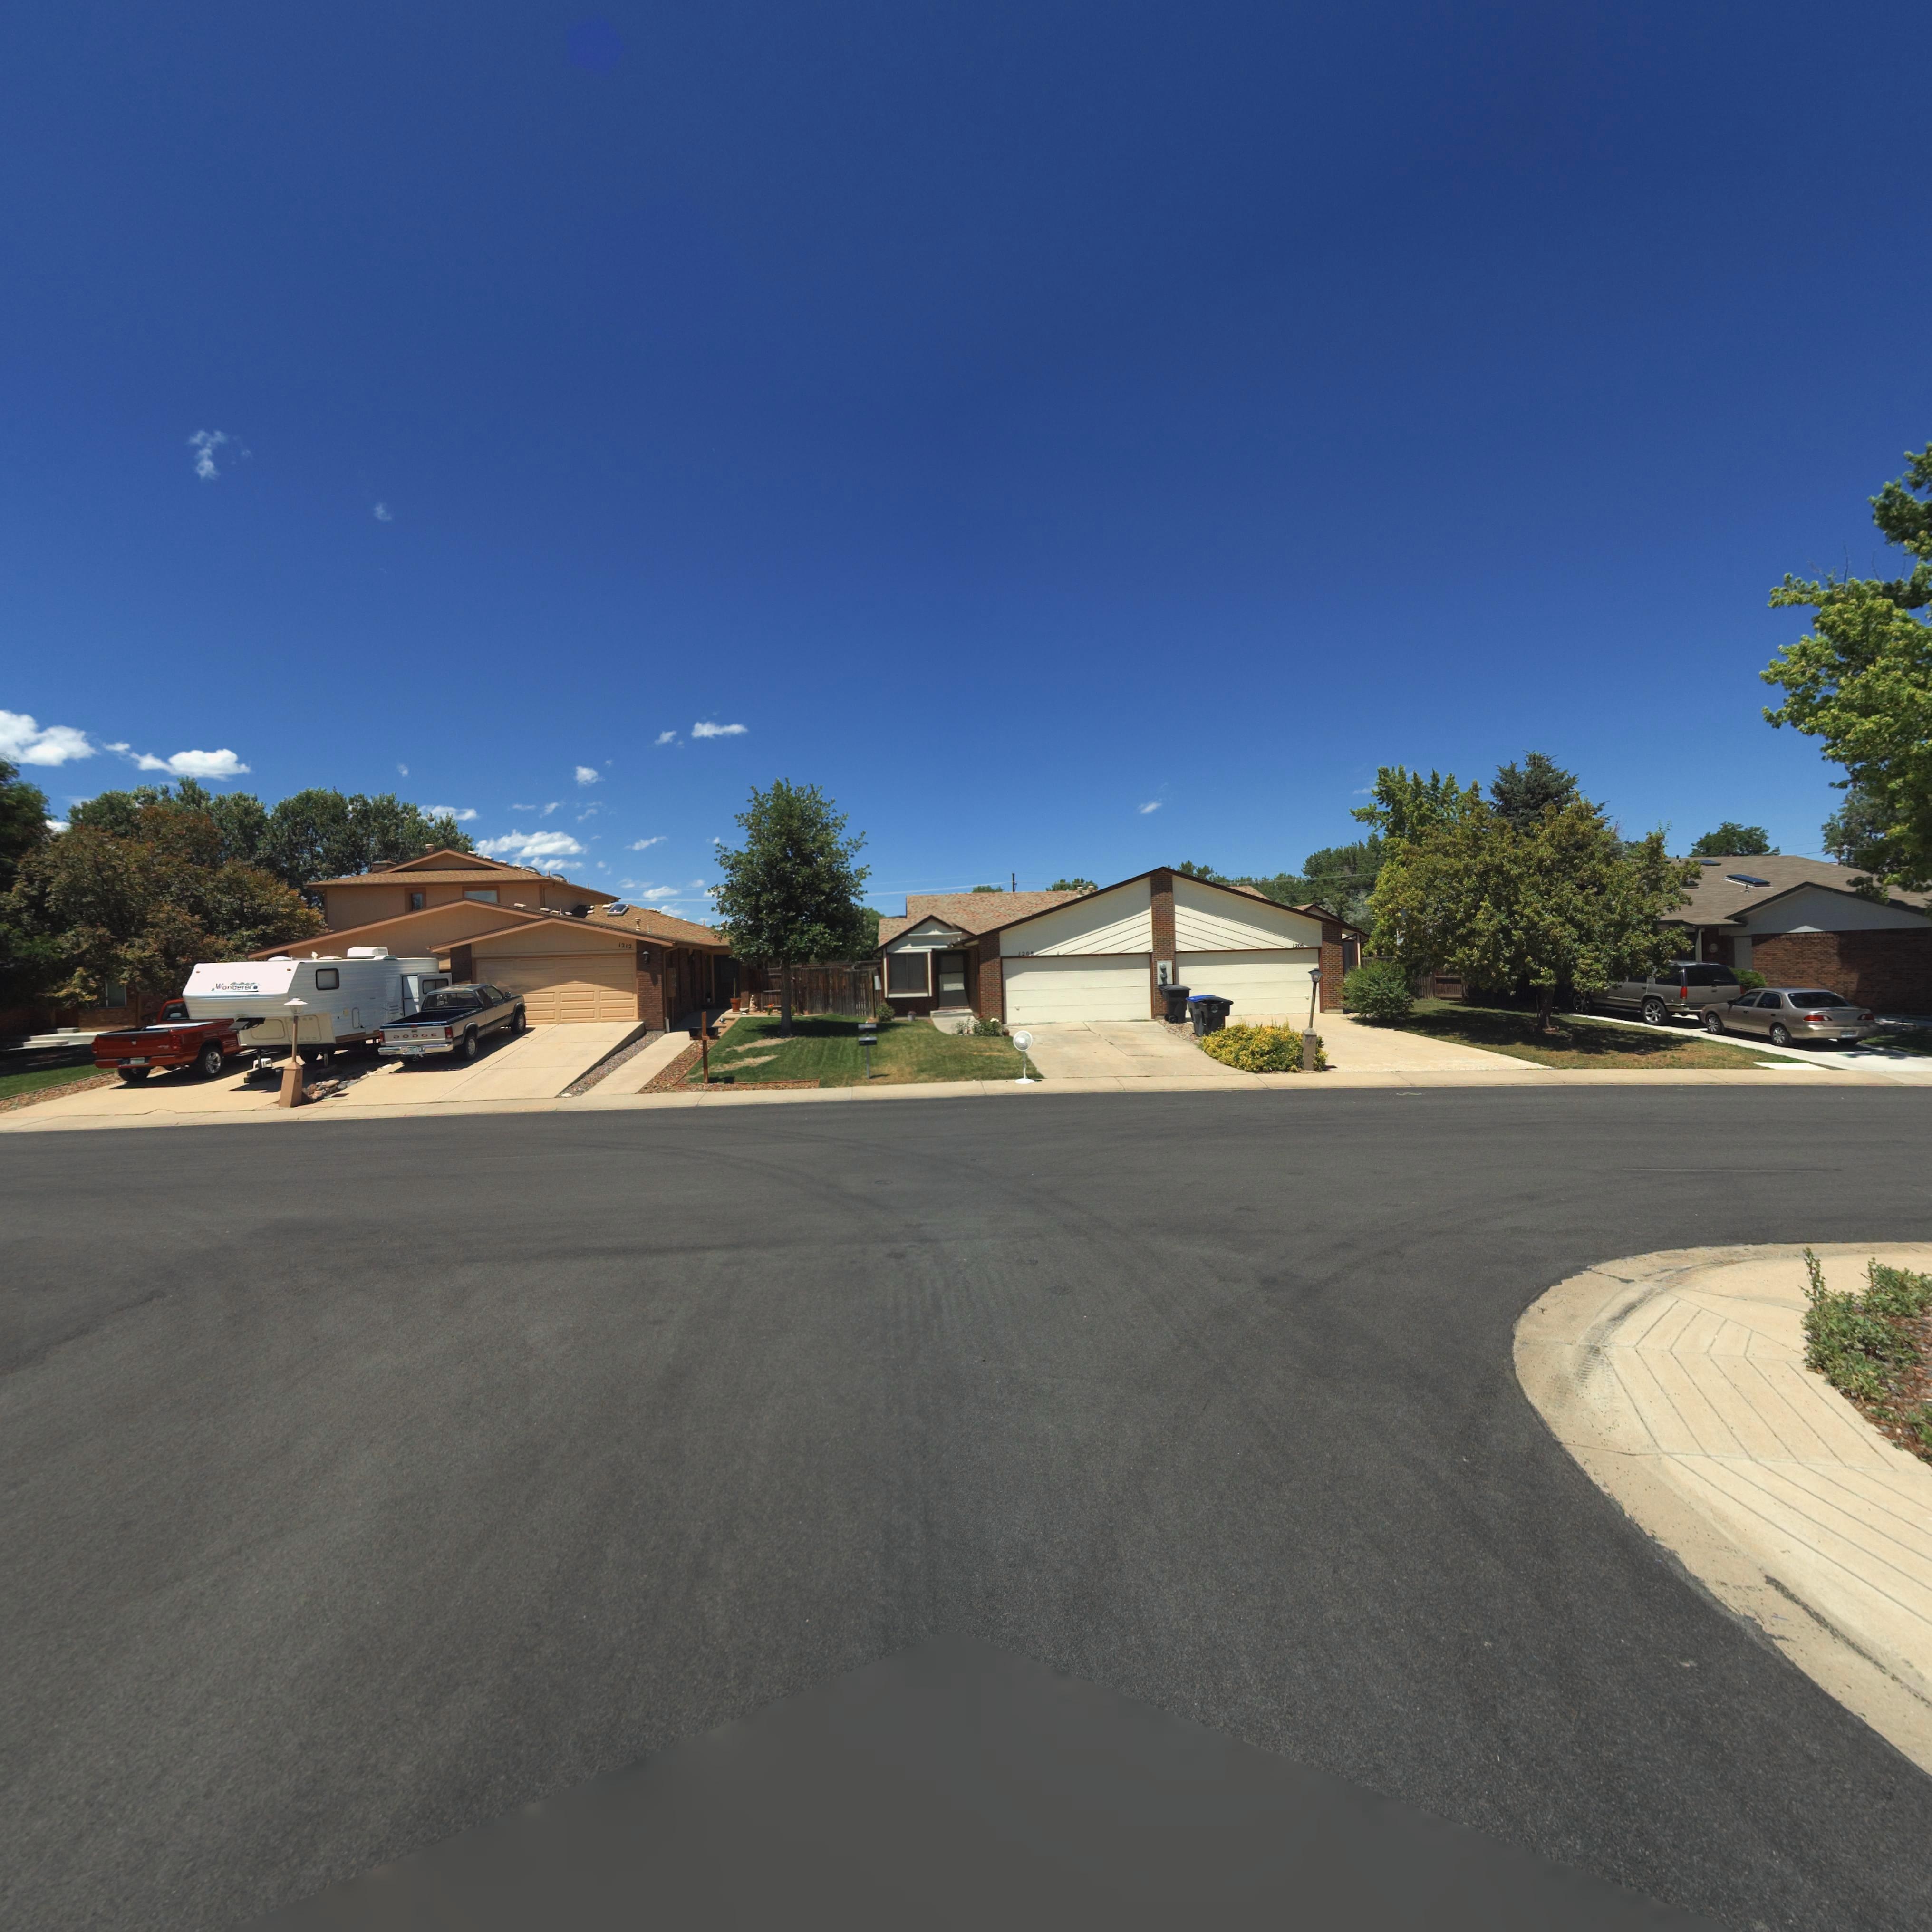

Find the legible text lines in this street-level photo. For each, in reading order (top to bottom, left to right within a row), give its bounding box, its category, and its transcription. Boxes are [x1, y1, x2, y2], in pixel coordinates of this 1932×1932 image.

[618, 941, 632, 949] StreetNumber: 1212
[1293, 942, 1304, 948] StreetNumber: 120*
[1018, 950, 1034, 956] StreetNumber: 120*